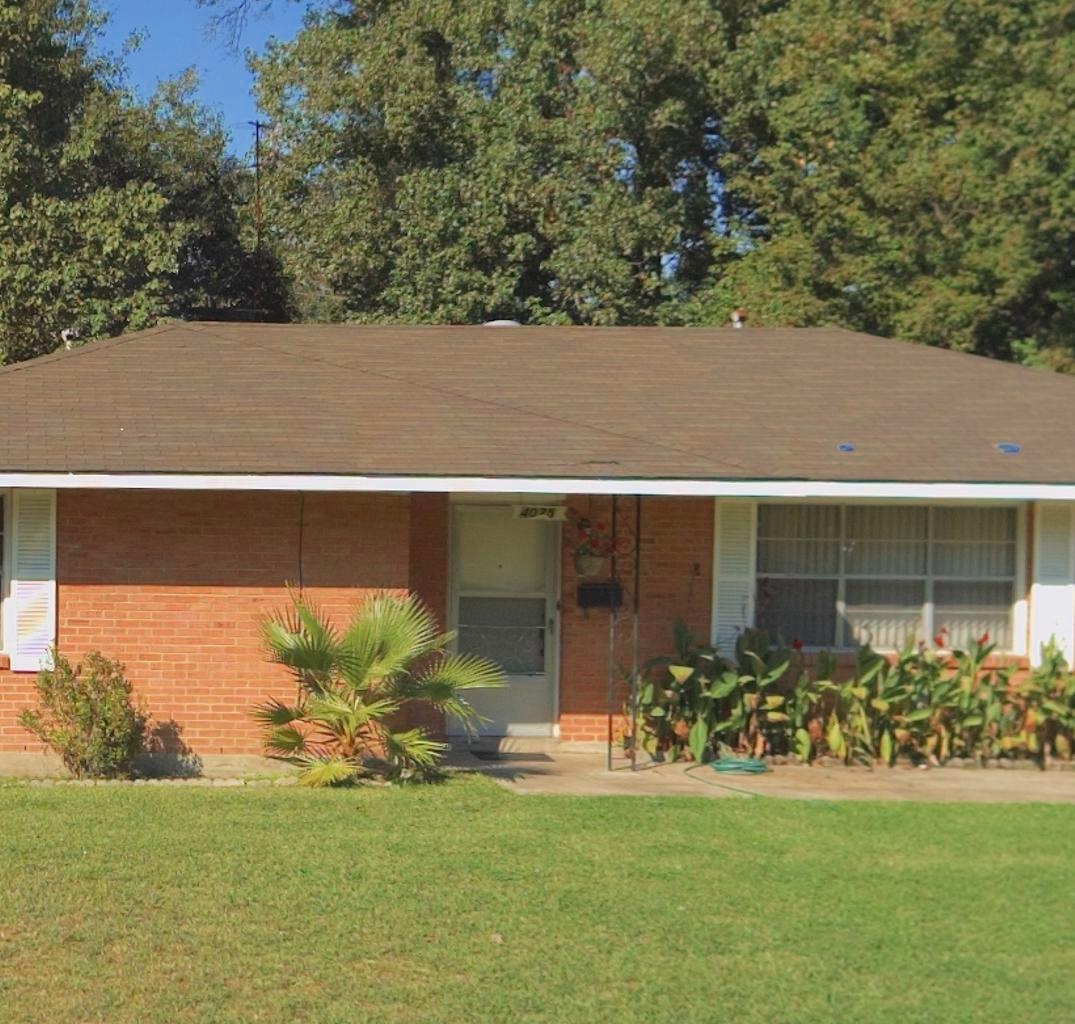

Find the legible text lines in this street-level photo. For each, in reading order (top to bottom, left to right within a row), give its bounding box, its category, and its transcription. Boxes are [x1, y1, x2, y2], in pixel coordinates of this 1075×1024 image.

[518, 508, 557, 518] StreetNumber: 4075